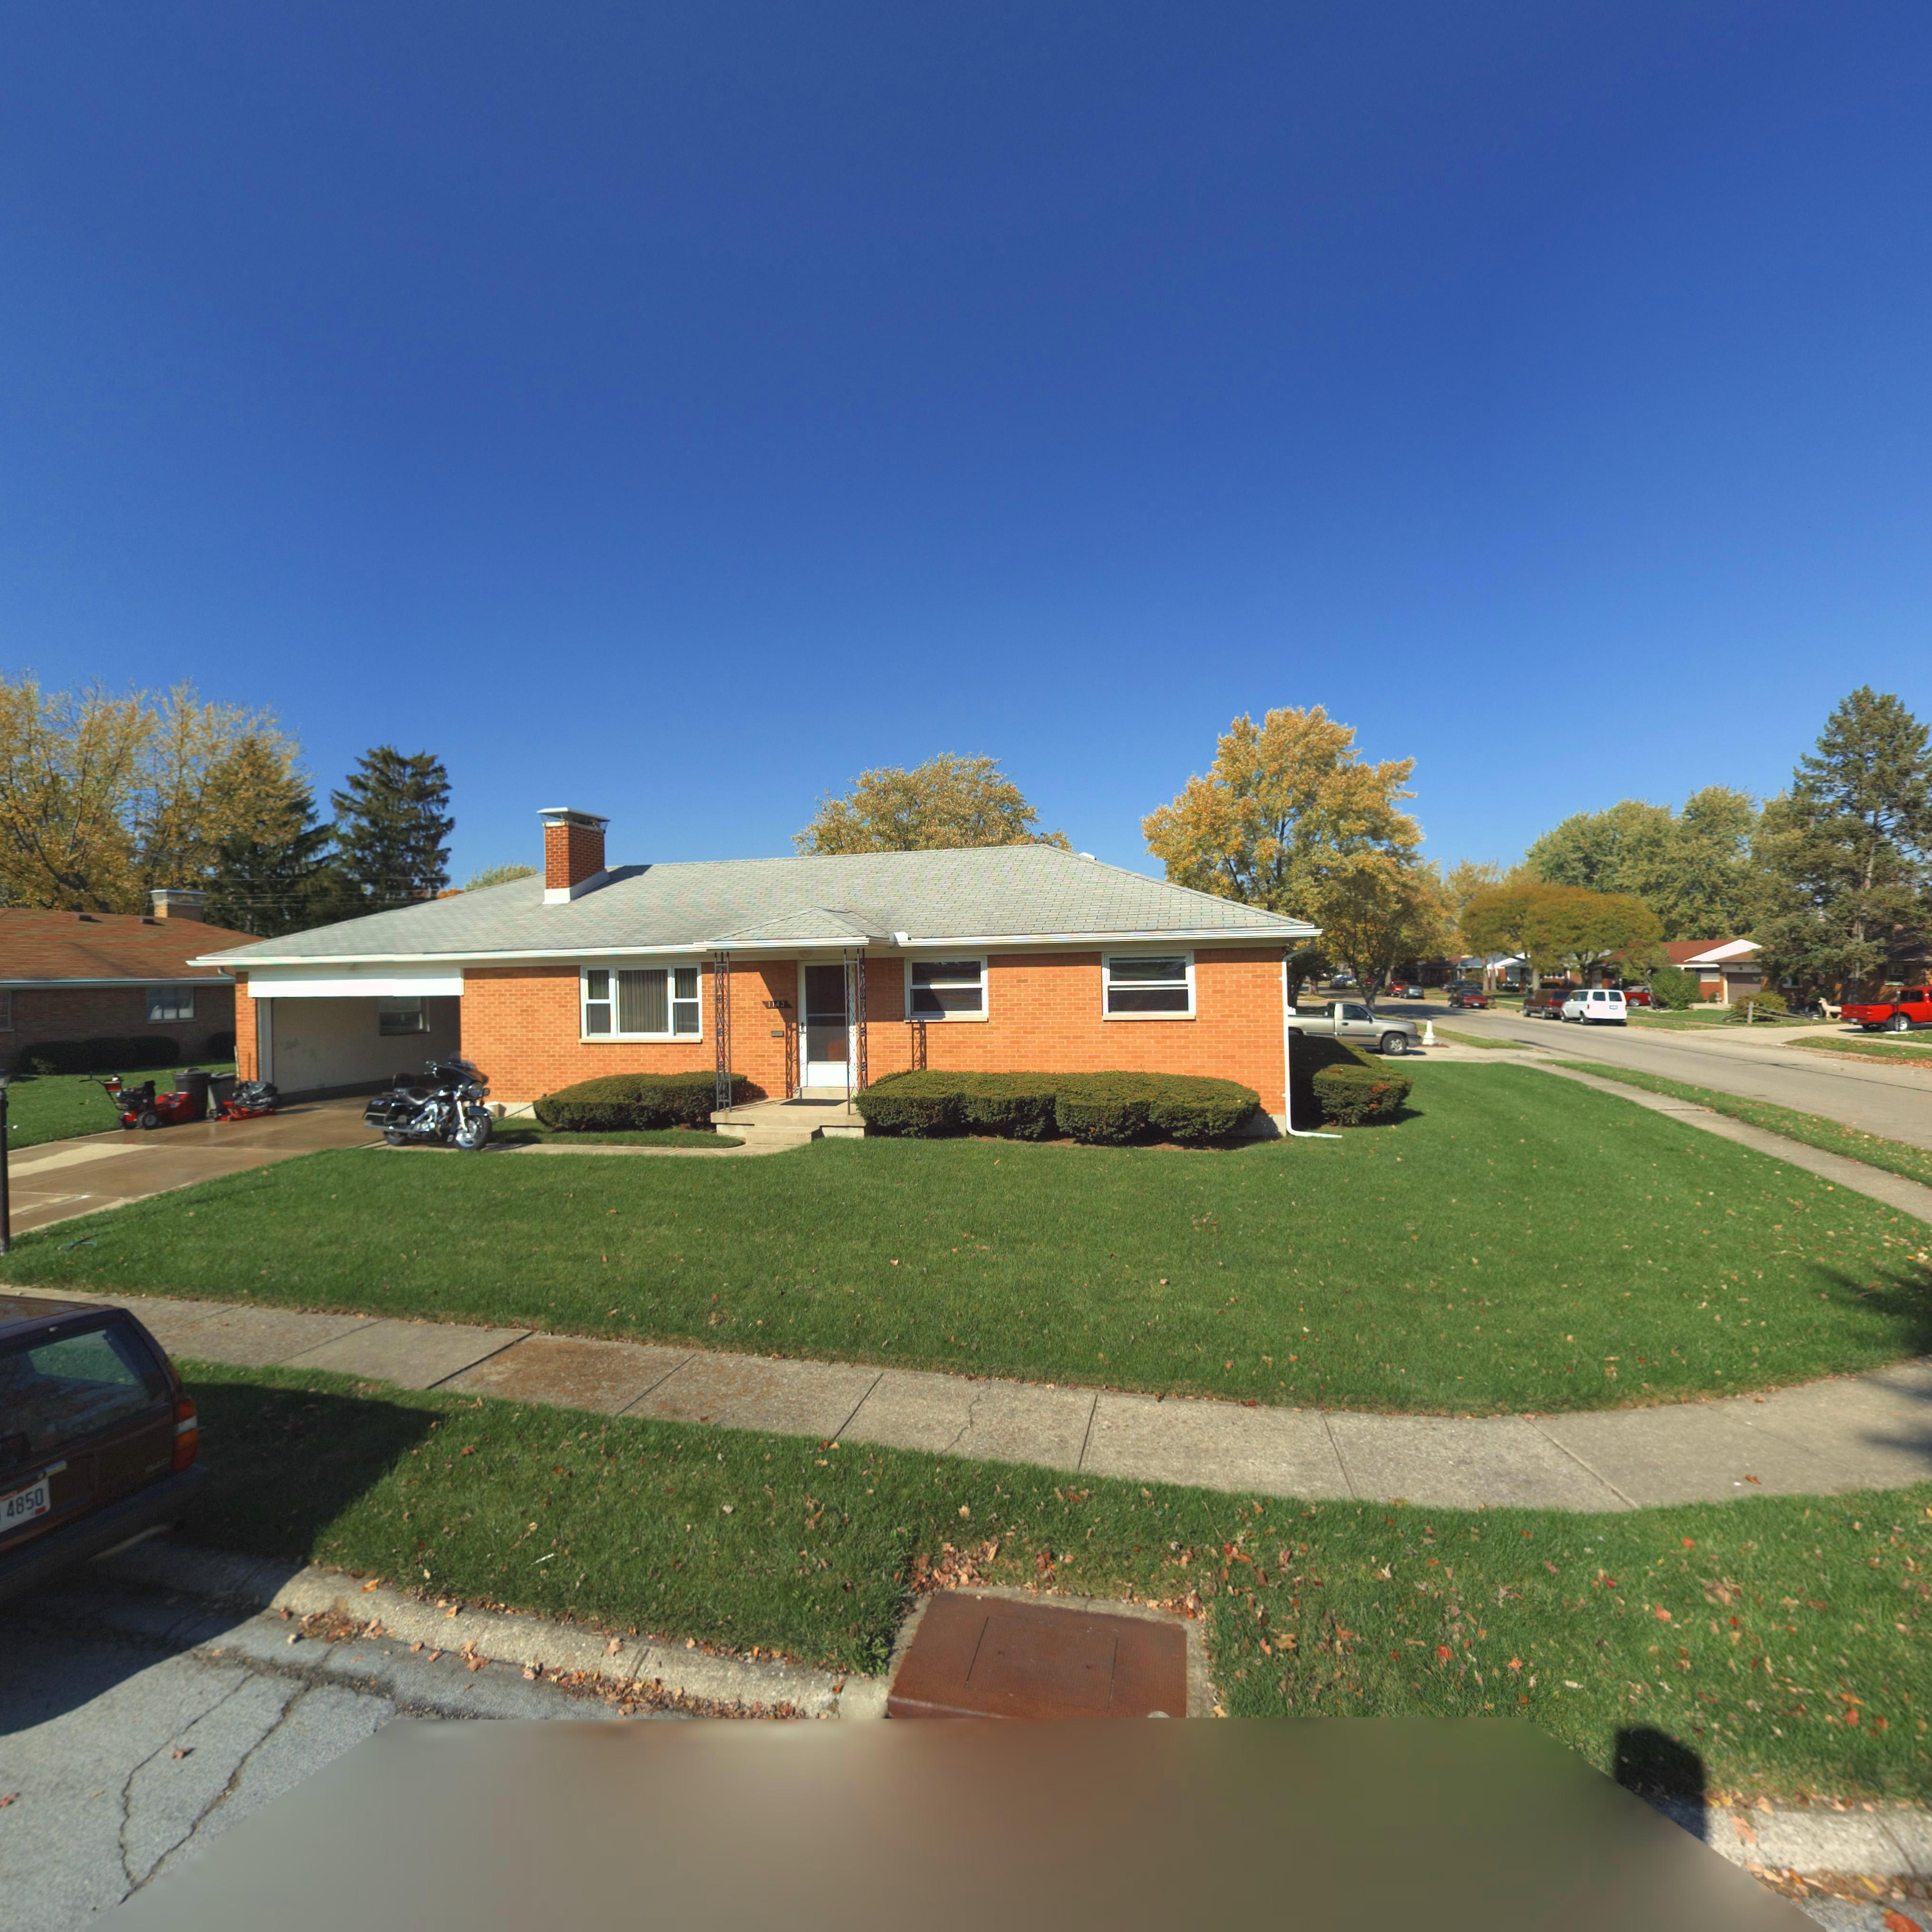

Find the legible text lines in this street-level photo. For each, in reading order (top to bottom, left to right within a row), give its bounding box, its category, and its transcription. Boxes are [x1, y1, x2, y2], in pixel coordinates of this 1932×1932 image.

[767, 1000, 786, 1008] StreetNumber: 1143
[4, 1484, 46, 1519] None: 4850